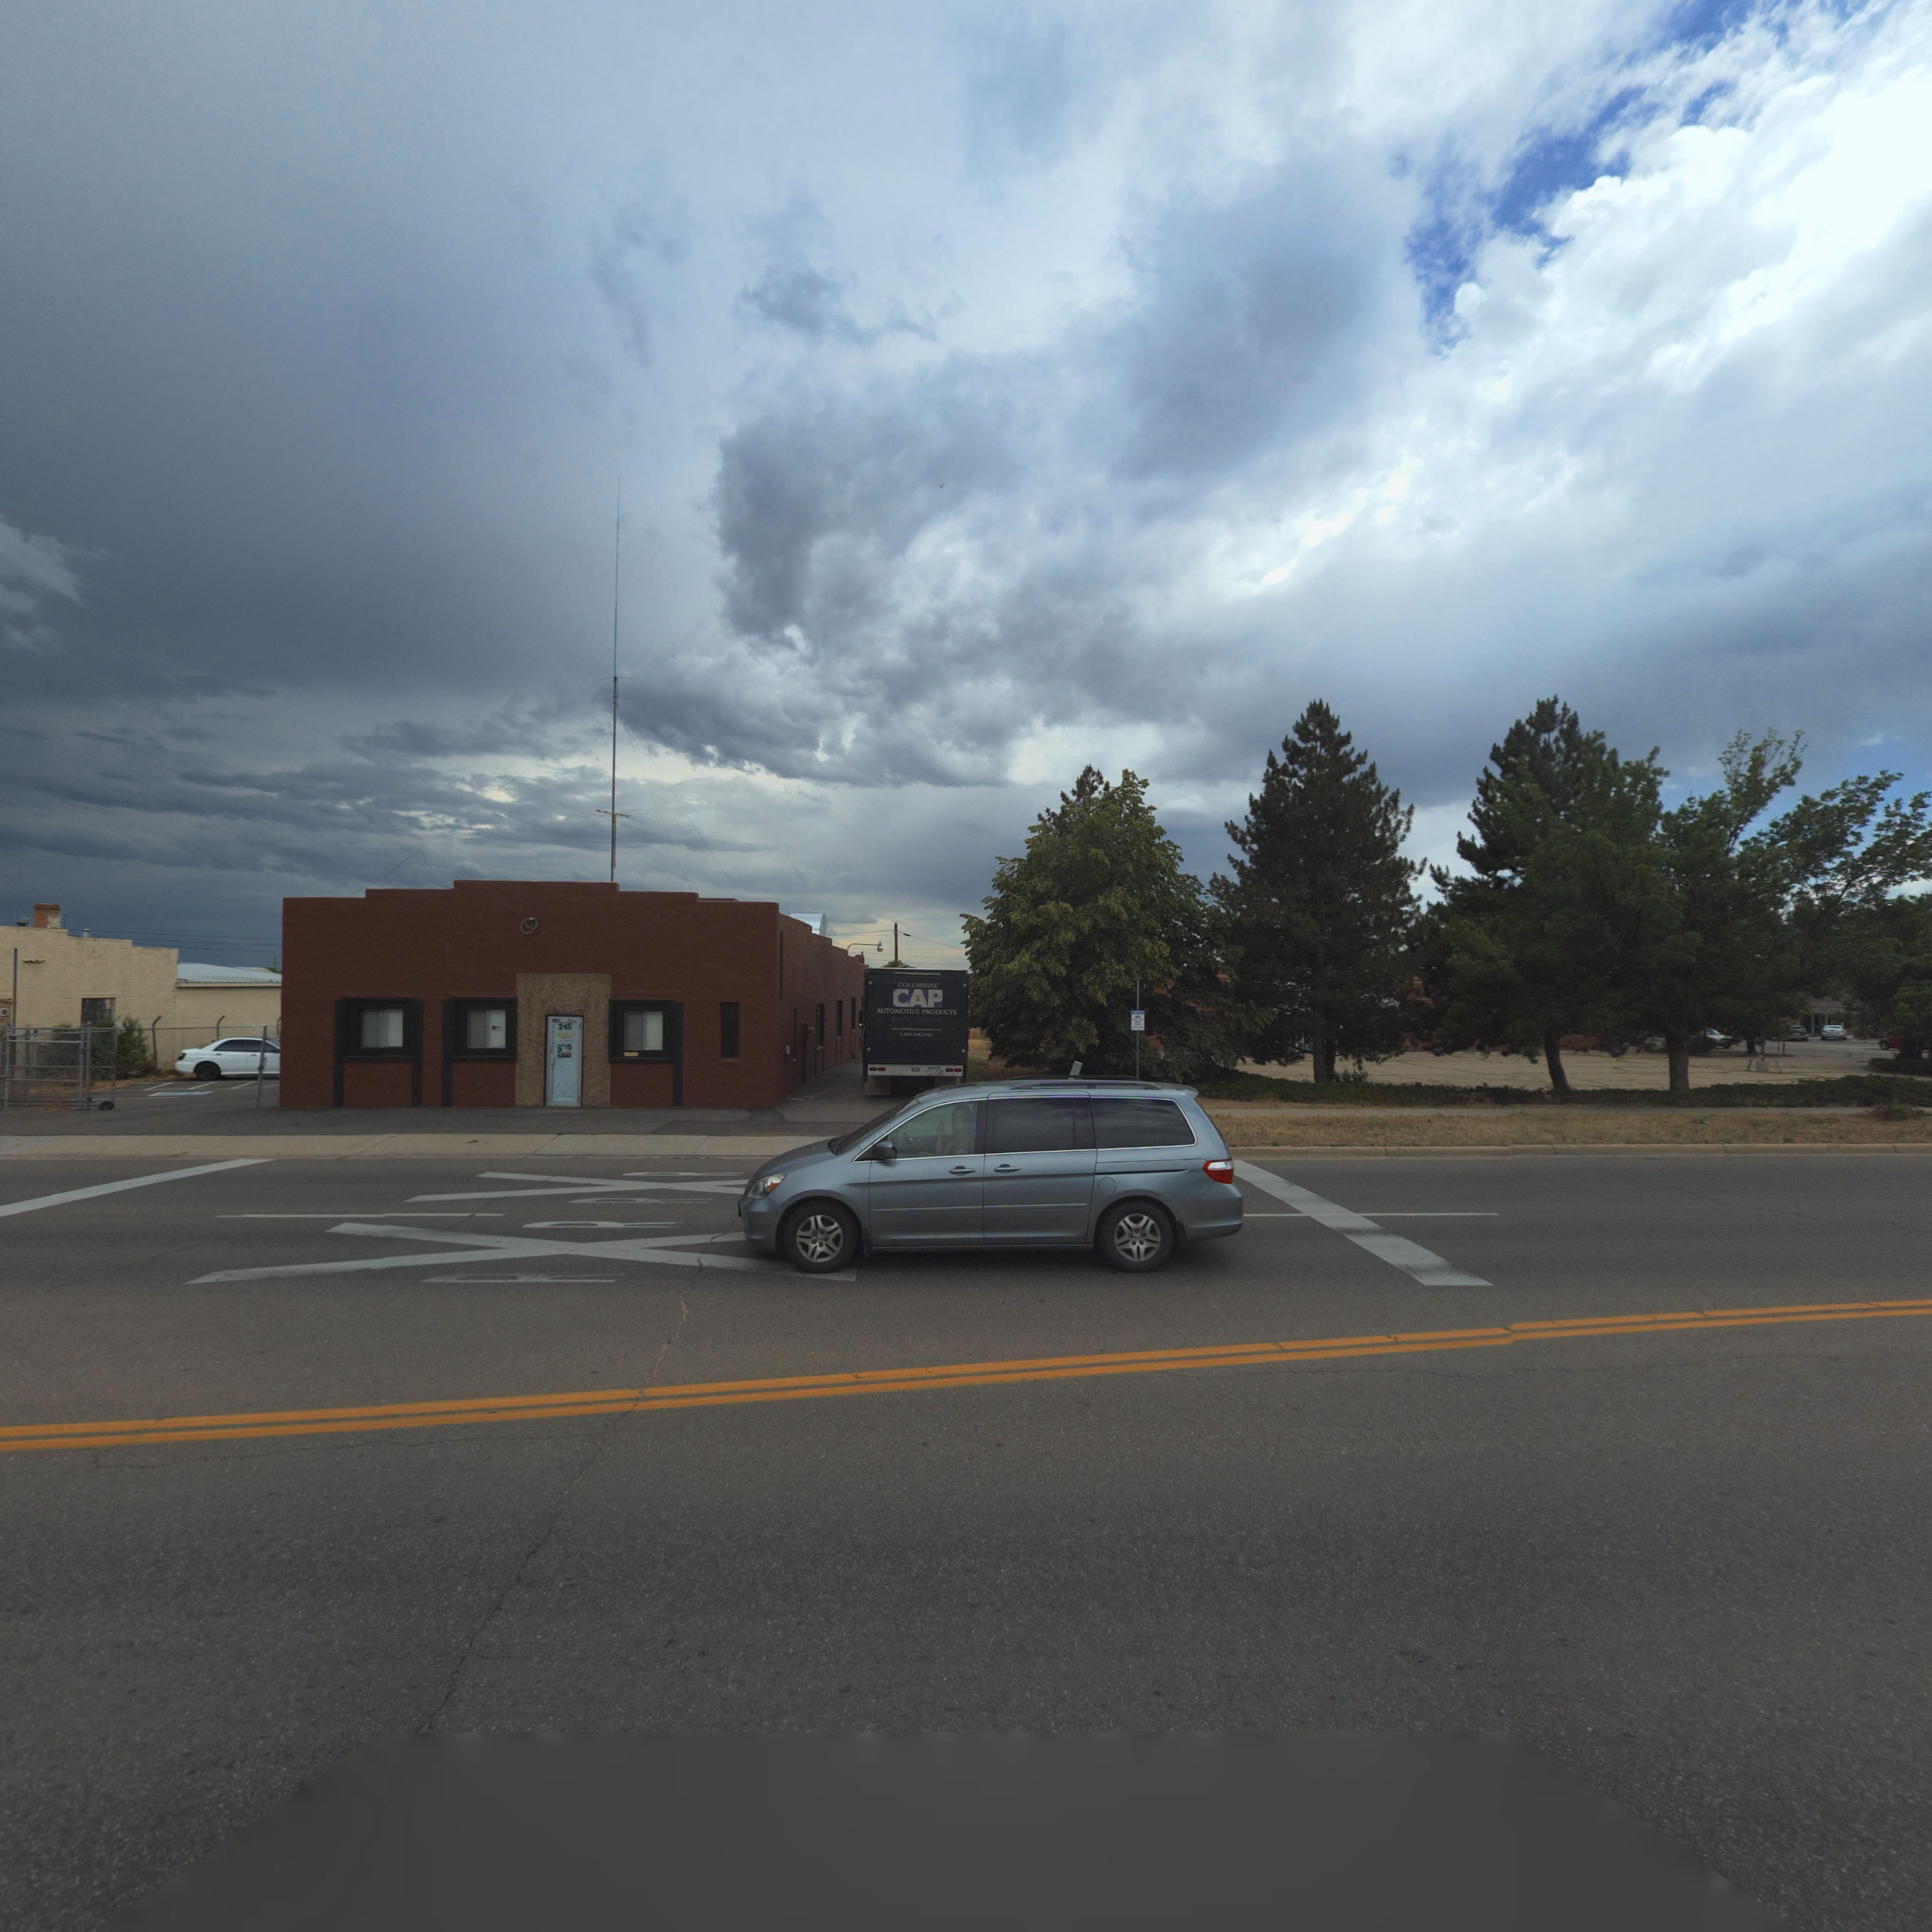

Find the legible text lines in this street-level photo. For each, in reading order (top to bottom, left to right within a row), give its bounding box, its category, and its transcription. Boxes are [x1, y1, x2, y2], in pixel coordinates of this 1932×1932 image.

[559, 1023, 572, 1030] StreetNumber: 245